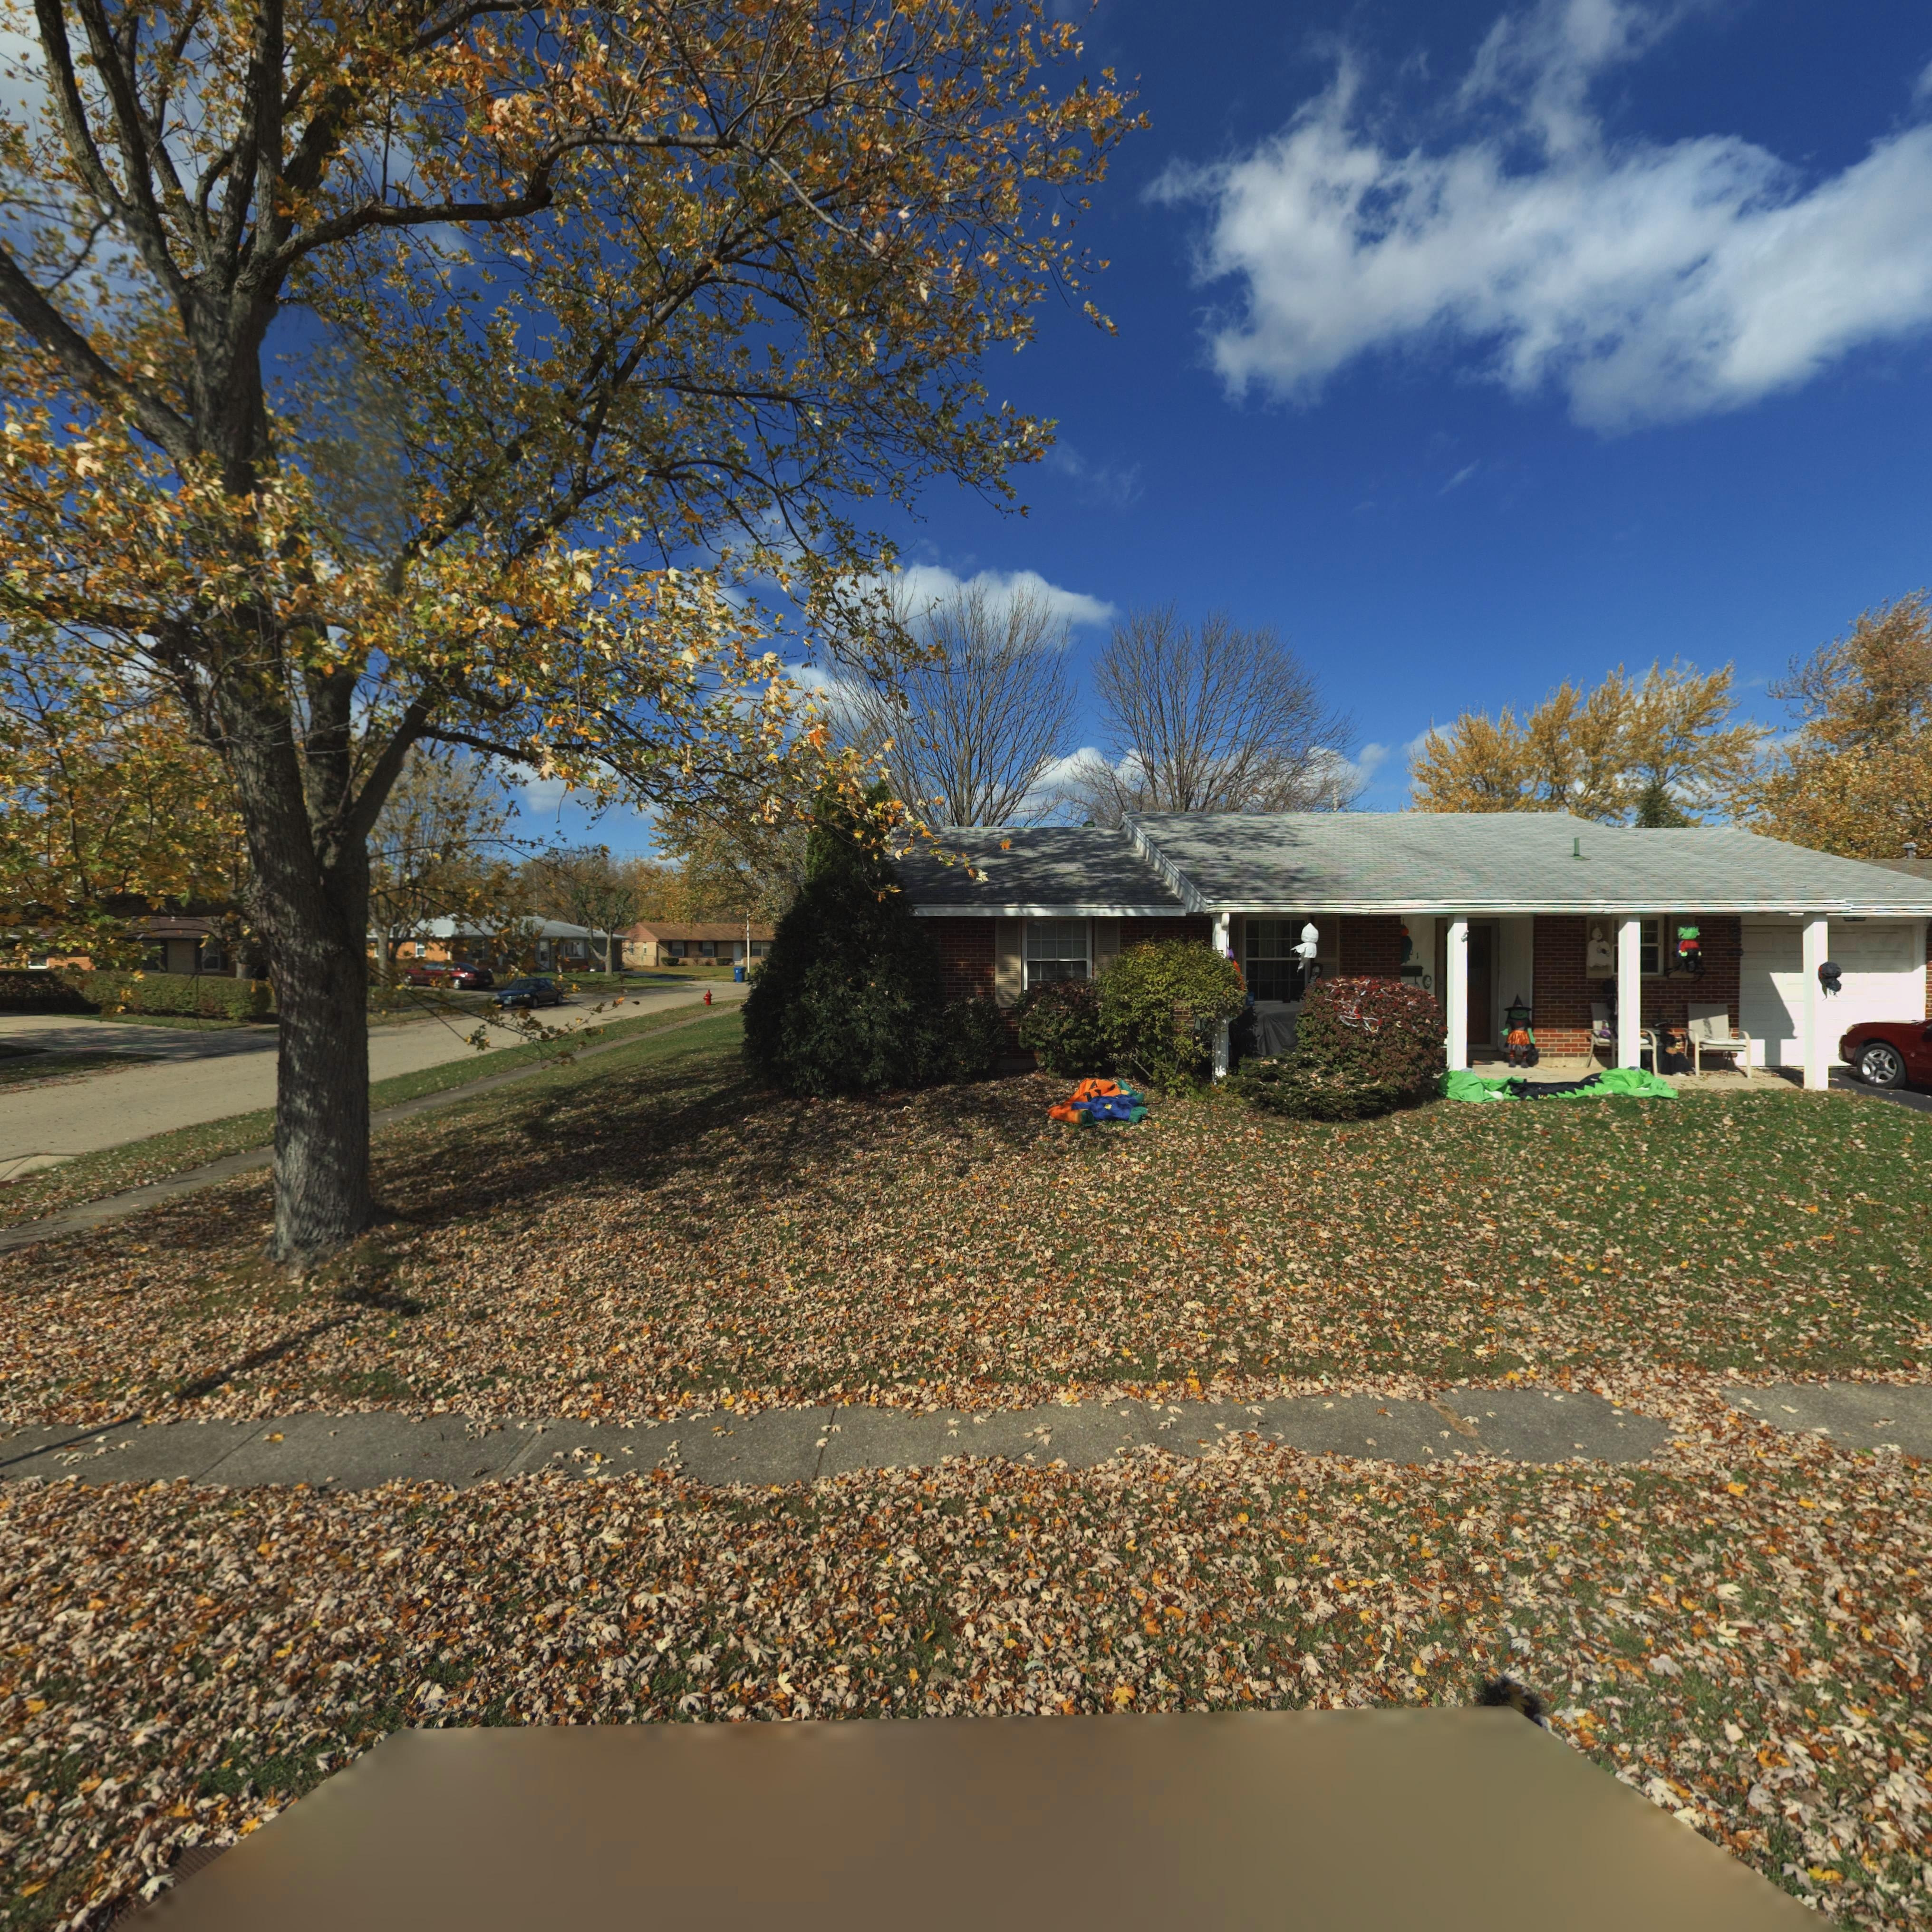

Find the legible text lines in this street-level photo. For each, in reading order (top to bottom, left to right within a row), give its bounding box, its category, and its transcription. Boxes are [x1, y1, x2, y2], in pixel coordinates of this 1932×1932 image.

[1416, 951, 1420, 960] StreetNumber: 1